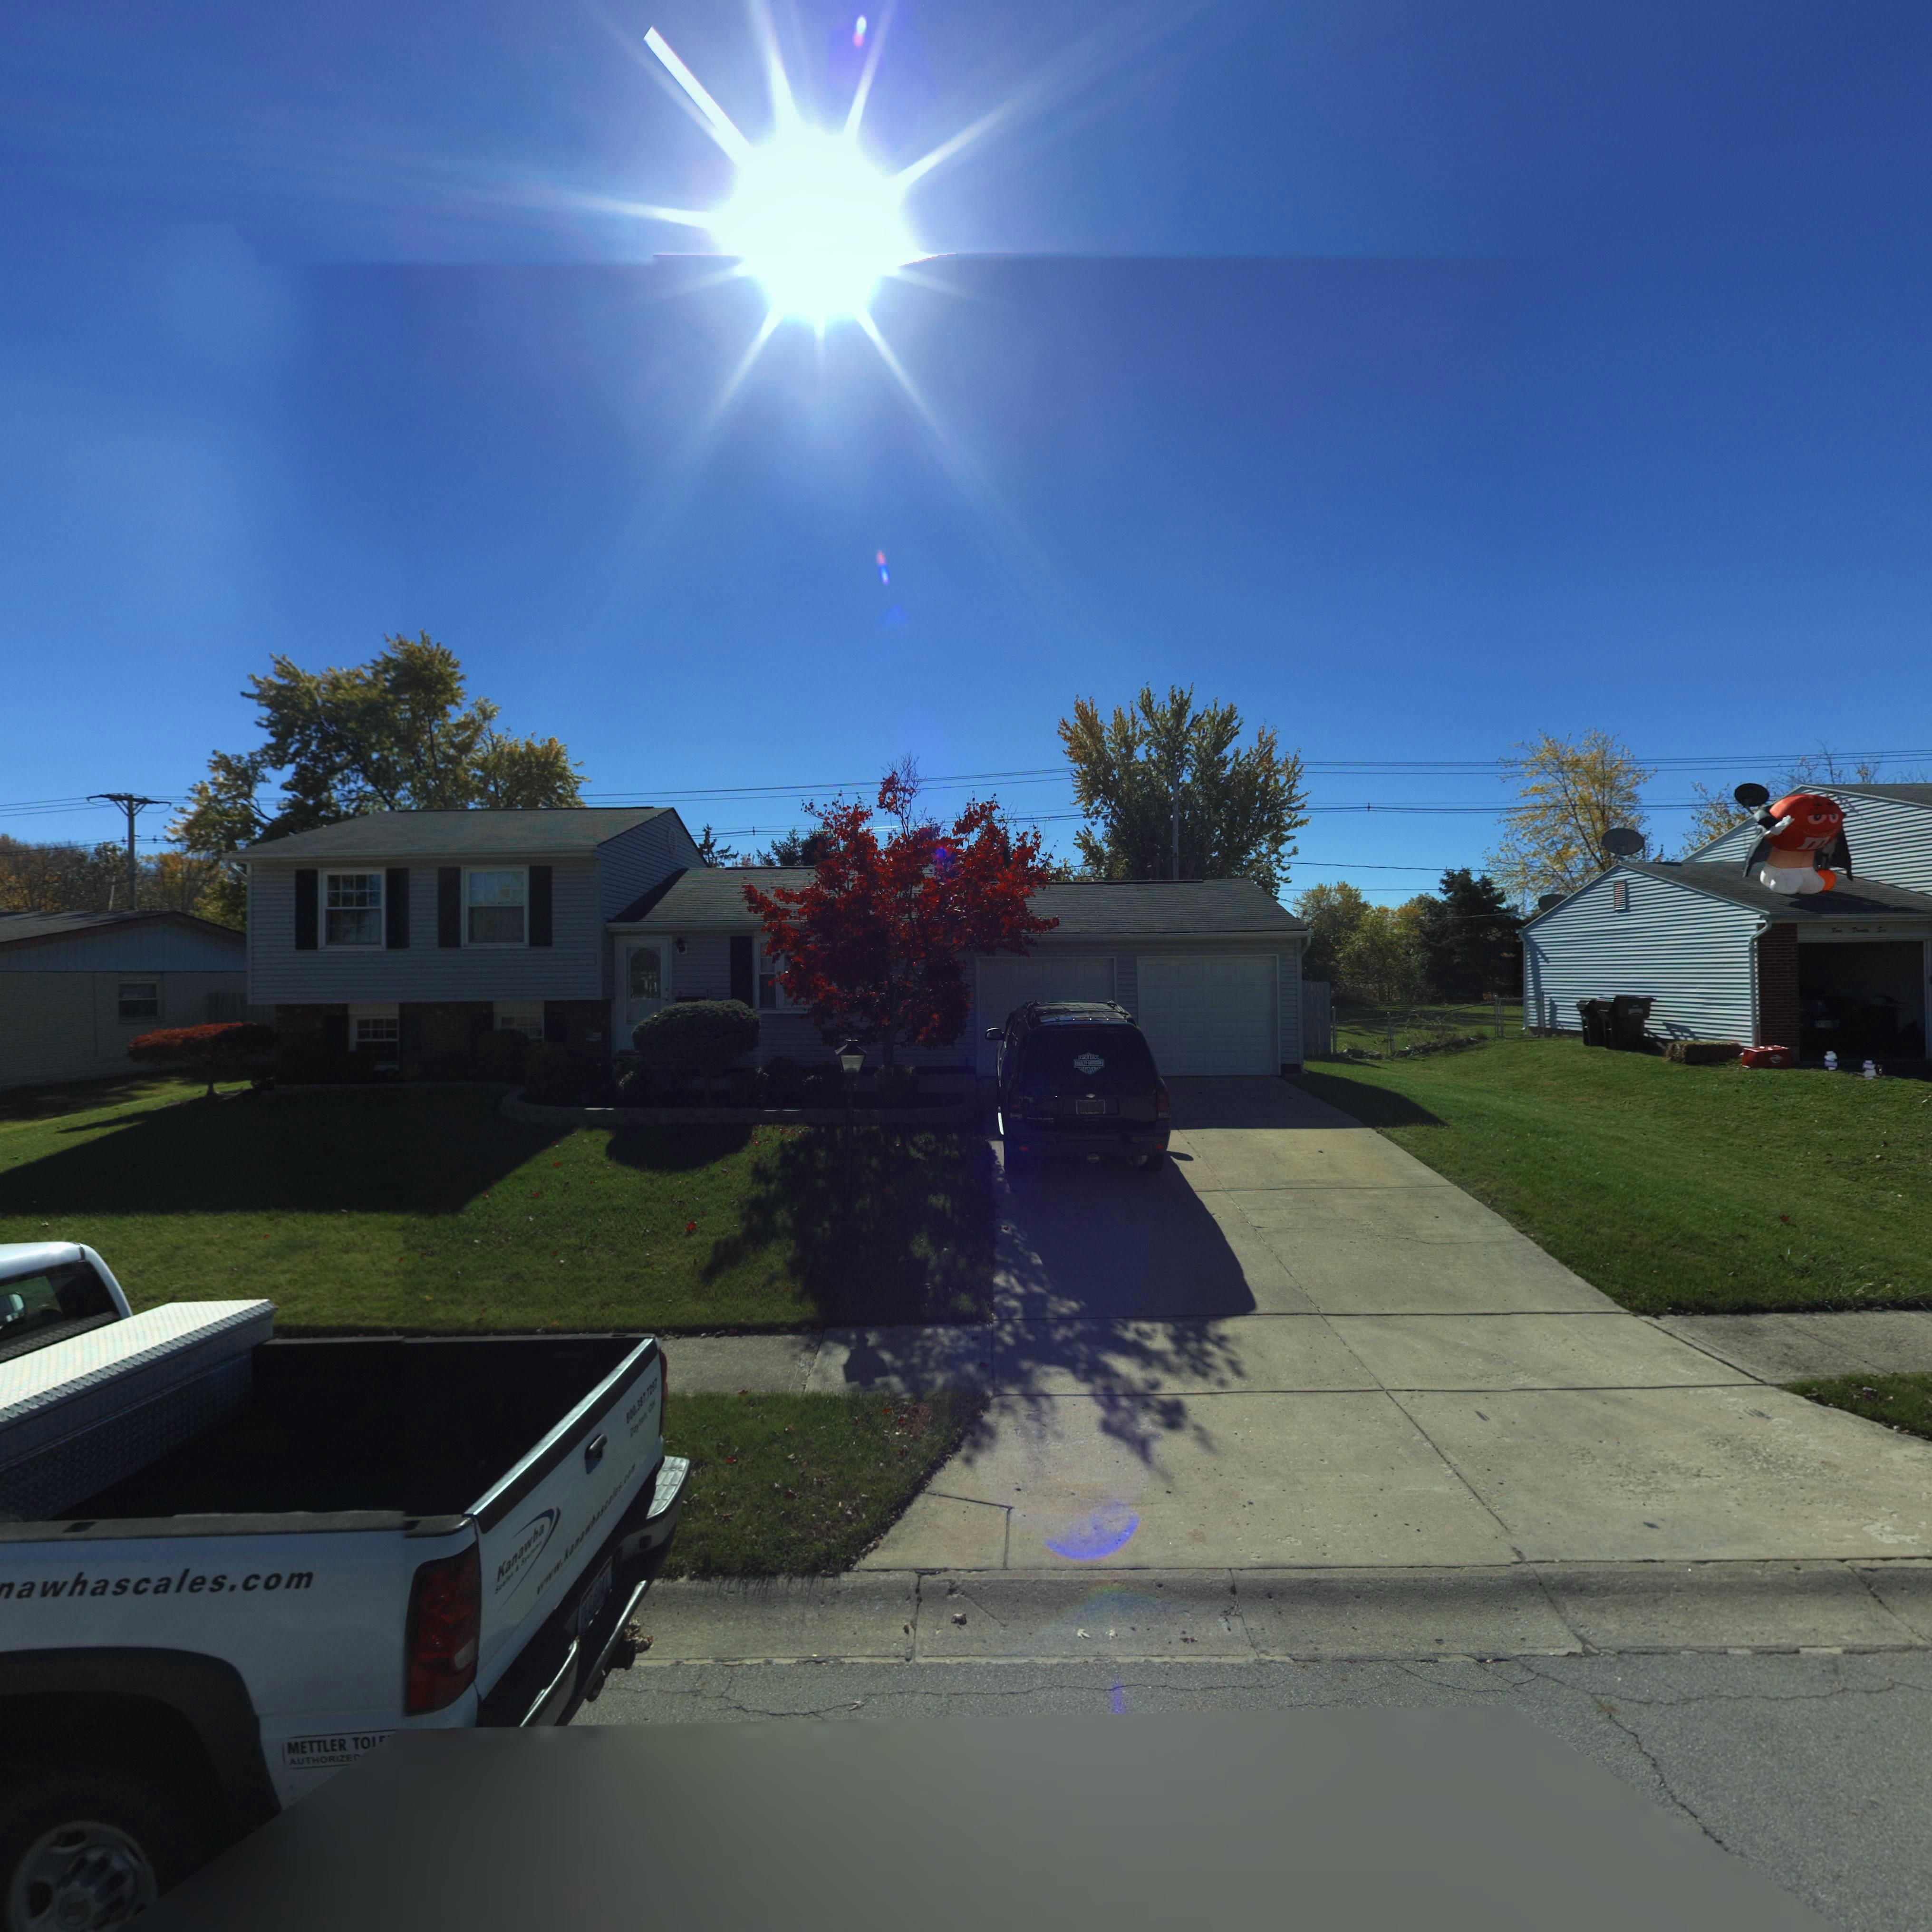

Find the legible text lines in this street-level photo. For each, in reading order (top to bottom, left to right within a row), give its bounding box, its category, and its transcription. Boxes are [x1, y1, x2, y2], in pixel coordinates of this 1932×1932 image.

[1831, 927, 1837, 933] StreetNumber: T
[1851, 927, 1858, 933] StreetNumber: T
[1876, 927, 1883, 933] StreetNumber: S
[705, 987, 710, 1000] StreetNumber: 22